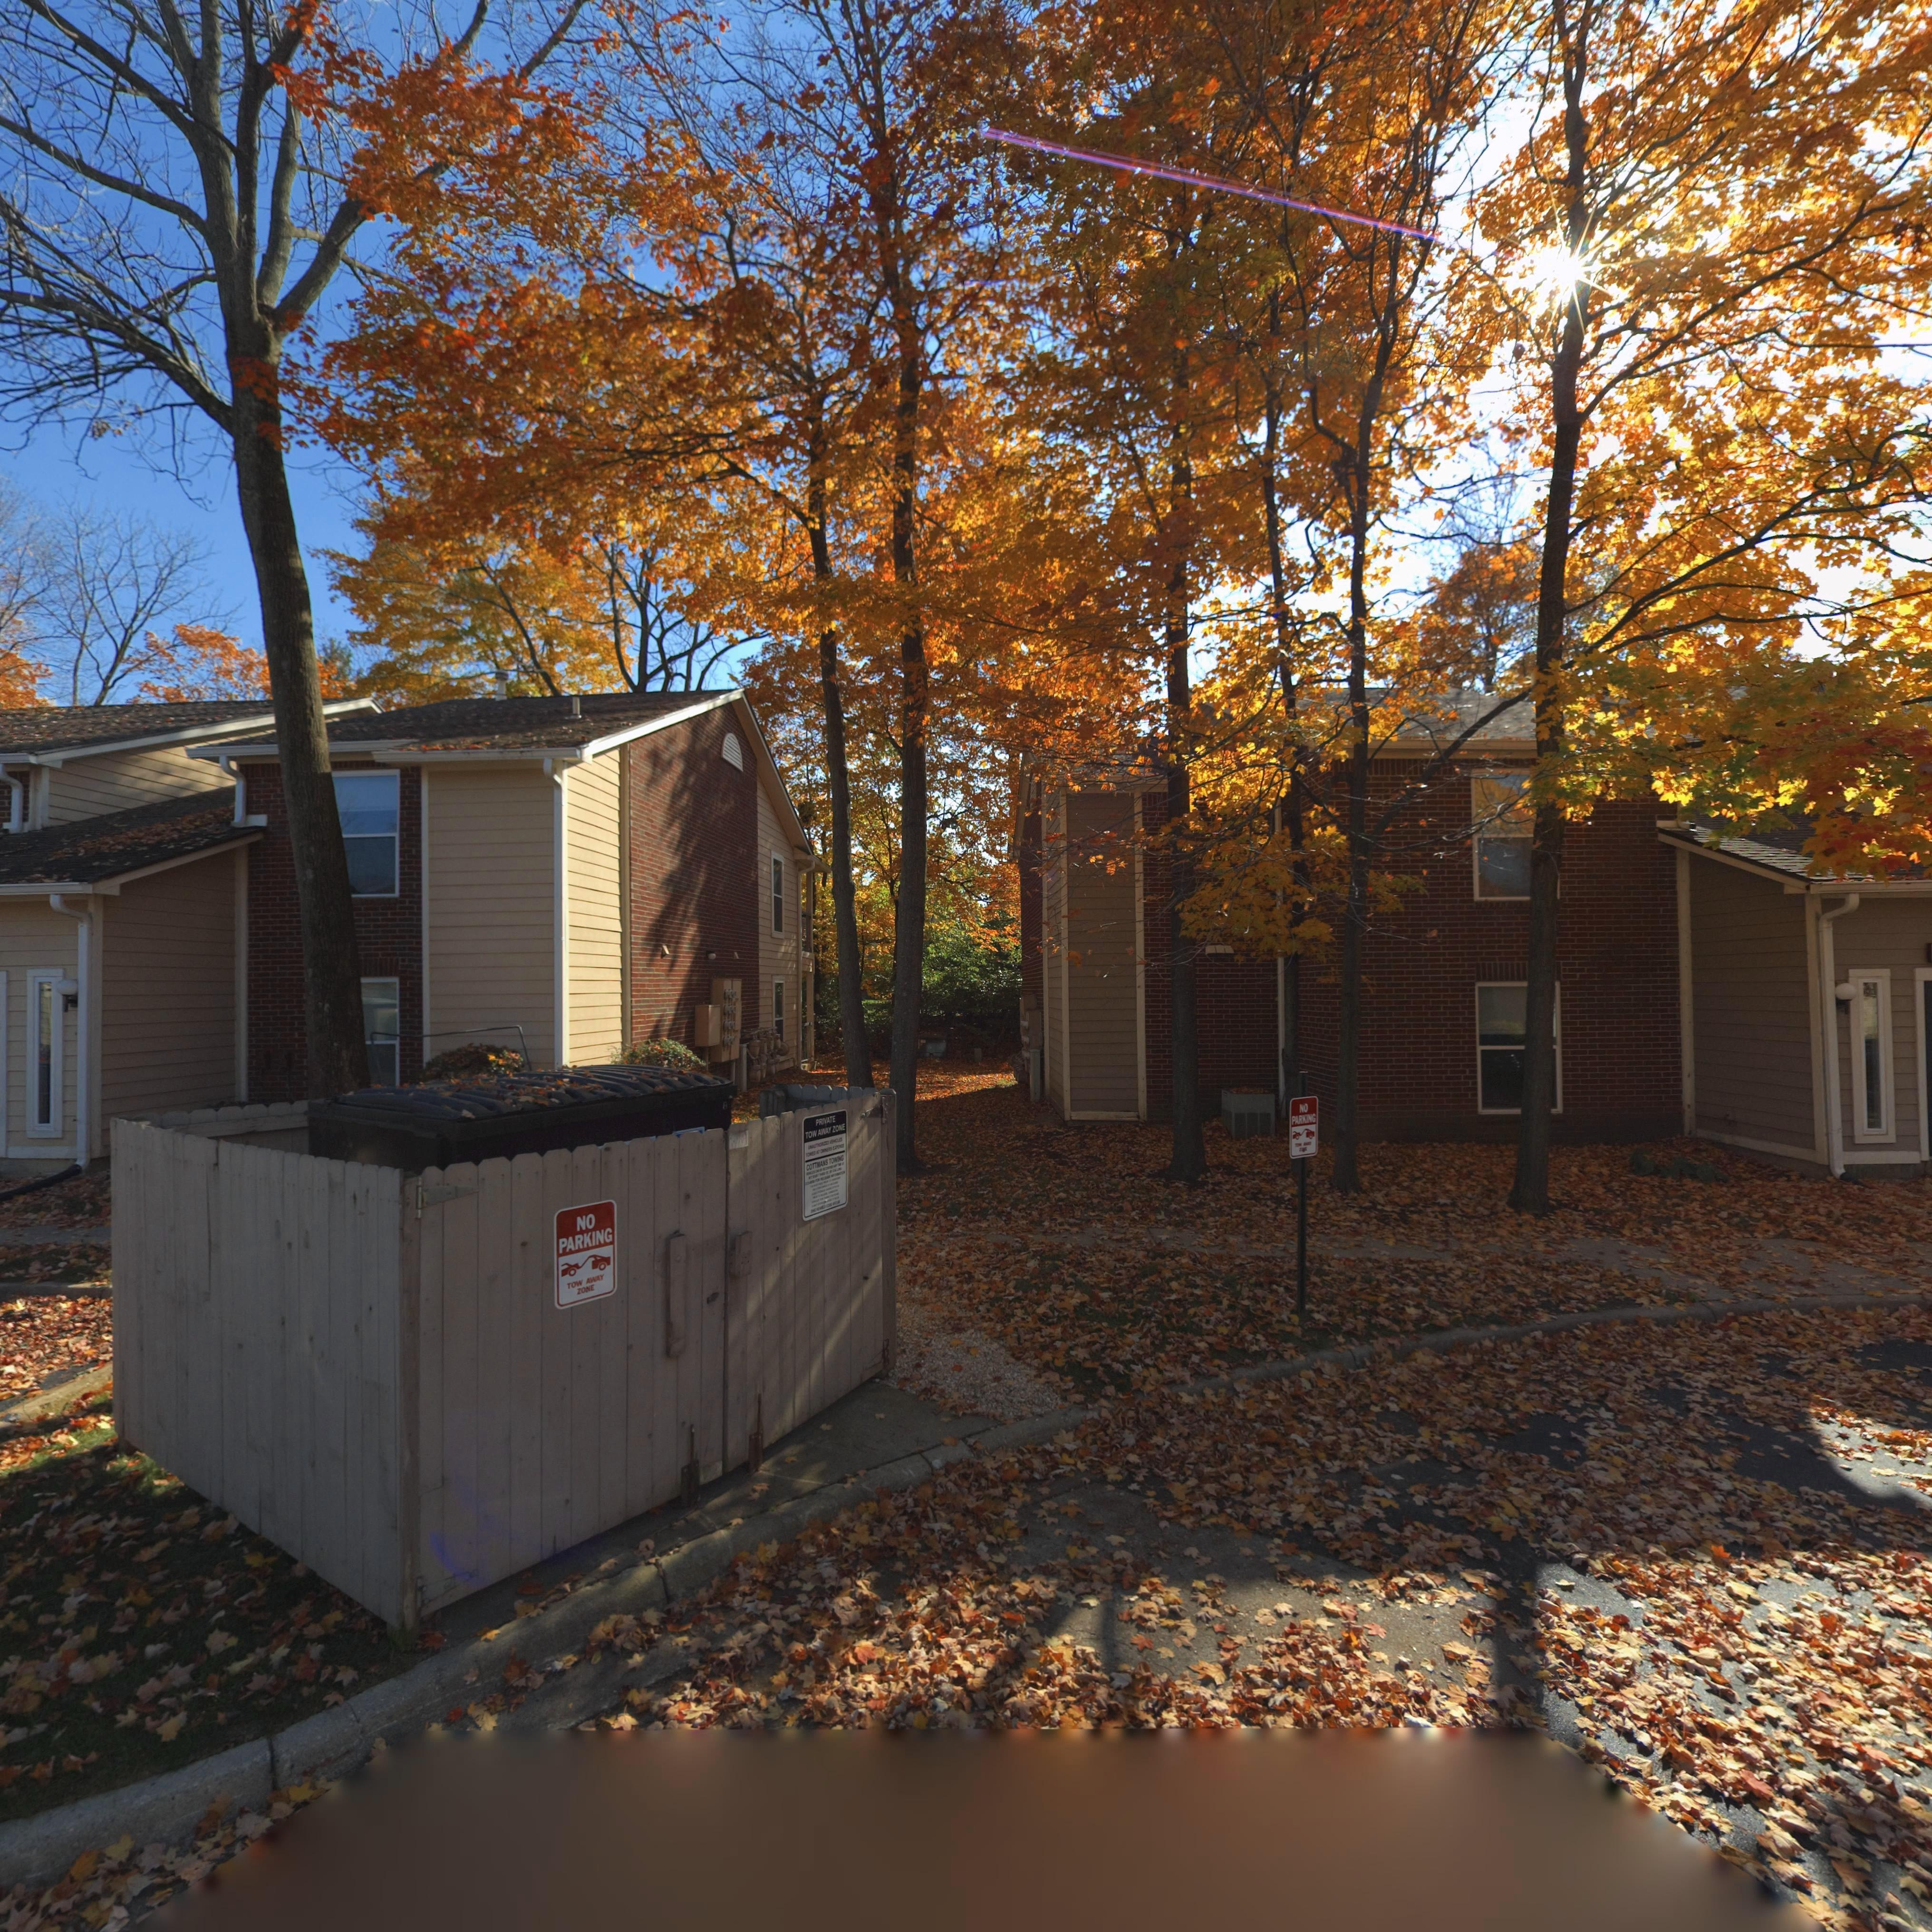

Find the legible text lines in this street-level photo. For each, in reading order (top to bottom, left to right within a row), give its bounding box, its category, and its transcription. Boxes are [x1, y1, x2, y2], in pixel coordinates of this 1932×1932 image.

[1298, 1102, 1310, 1114] None: *O
[815, 1114, 837, 1127] None: PRIVATE
[1291, 1112, 1317, 1126] None: PARKING
[804, 1122, 846, 1140] None: TOW AWAY ZONE
[805, 1153, 845, 1172] None: COTT**** TO****
[576, 1212, 597, 1233] None: NO
[558, 1227, 614, 1255] None: PARKING
[566, 1272, 605, 1290] None: TOW AWAY
[576, 1283, 596, 1296] None: ZONE